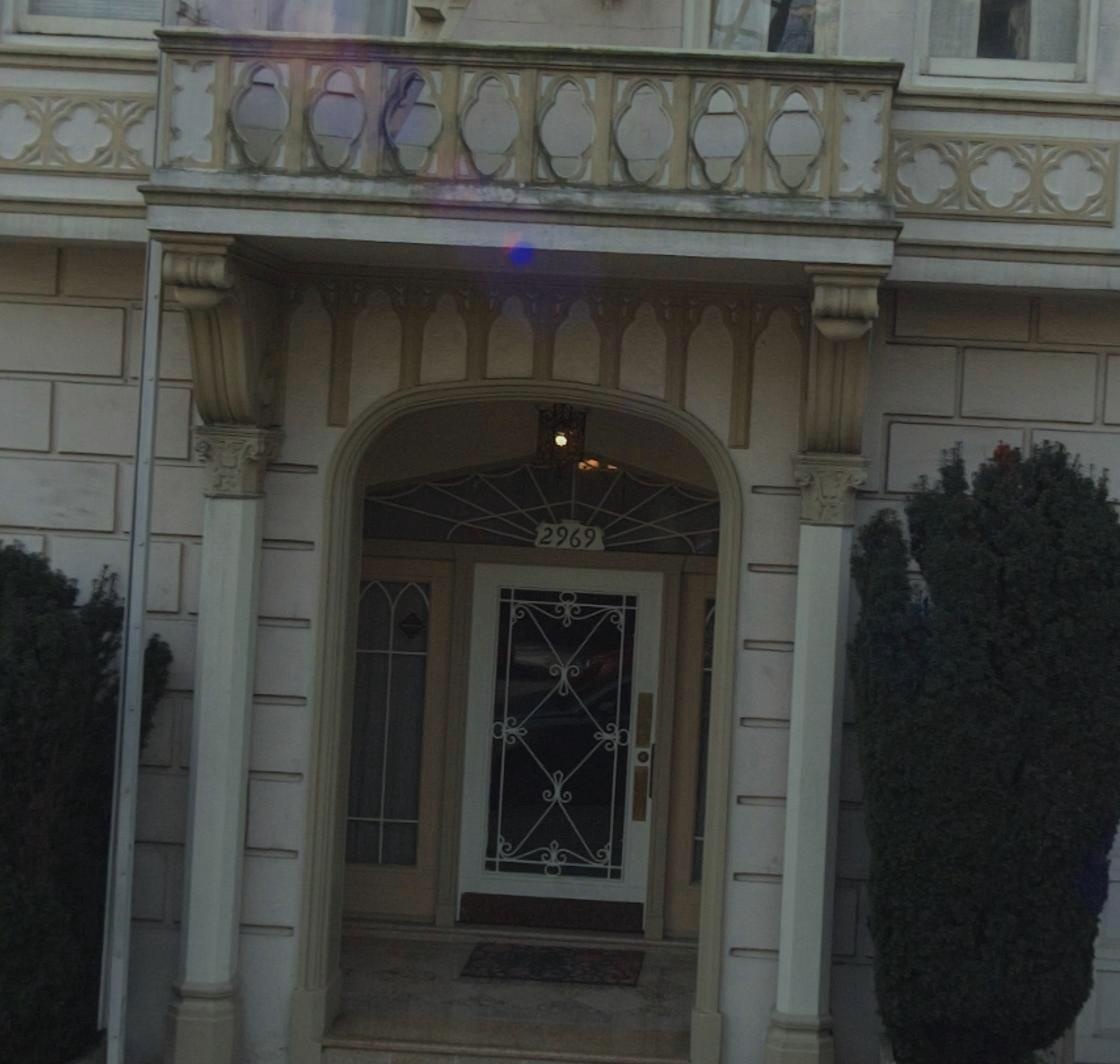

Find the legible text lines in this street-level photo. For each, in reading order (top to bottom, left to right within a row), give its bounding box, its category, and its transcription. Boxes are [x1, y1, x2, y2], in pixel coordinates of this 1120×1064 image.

[534, 523, 601, 551] StreetNumber: 2969